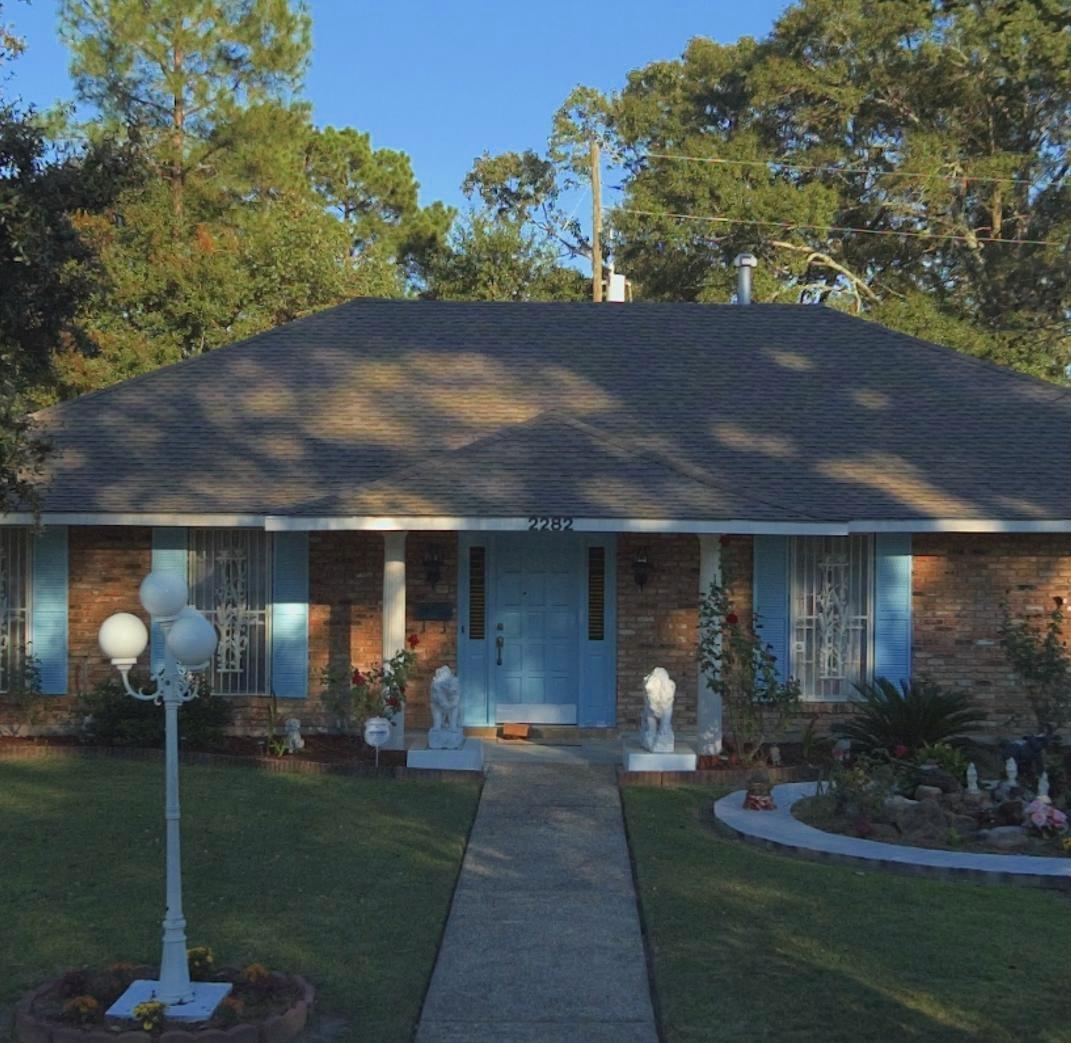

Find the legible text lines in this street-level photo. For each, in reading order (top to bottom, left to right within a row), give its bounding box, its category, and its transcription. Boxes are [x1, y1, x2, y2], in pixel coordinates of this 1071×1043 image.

[527, 516, 575, 532] StreetNumber: 2282